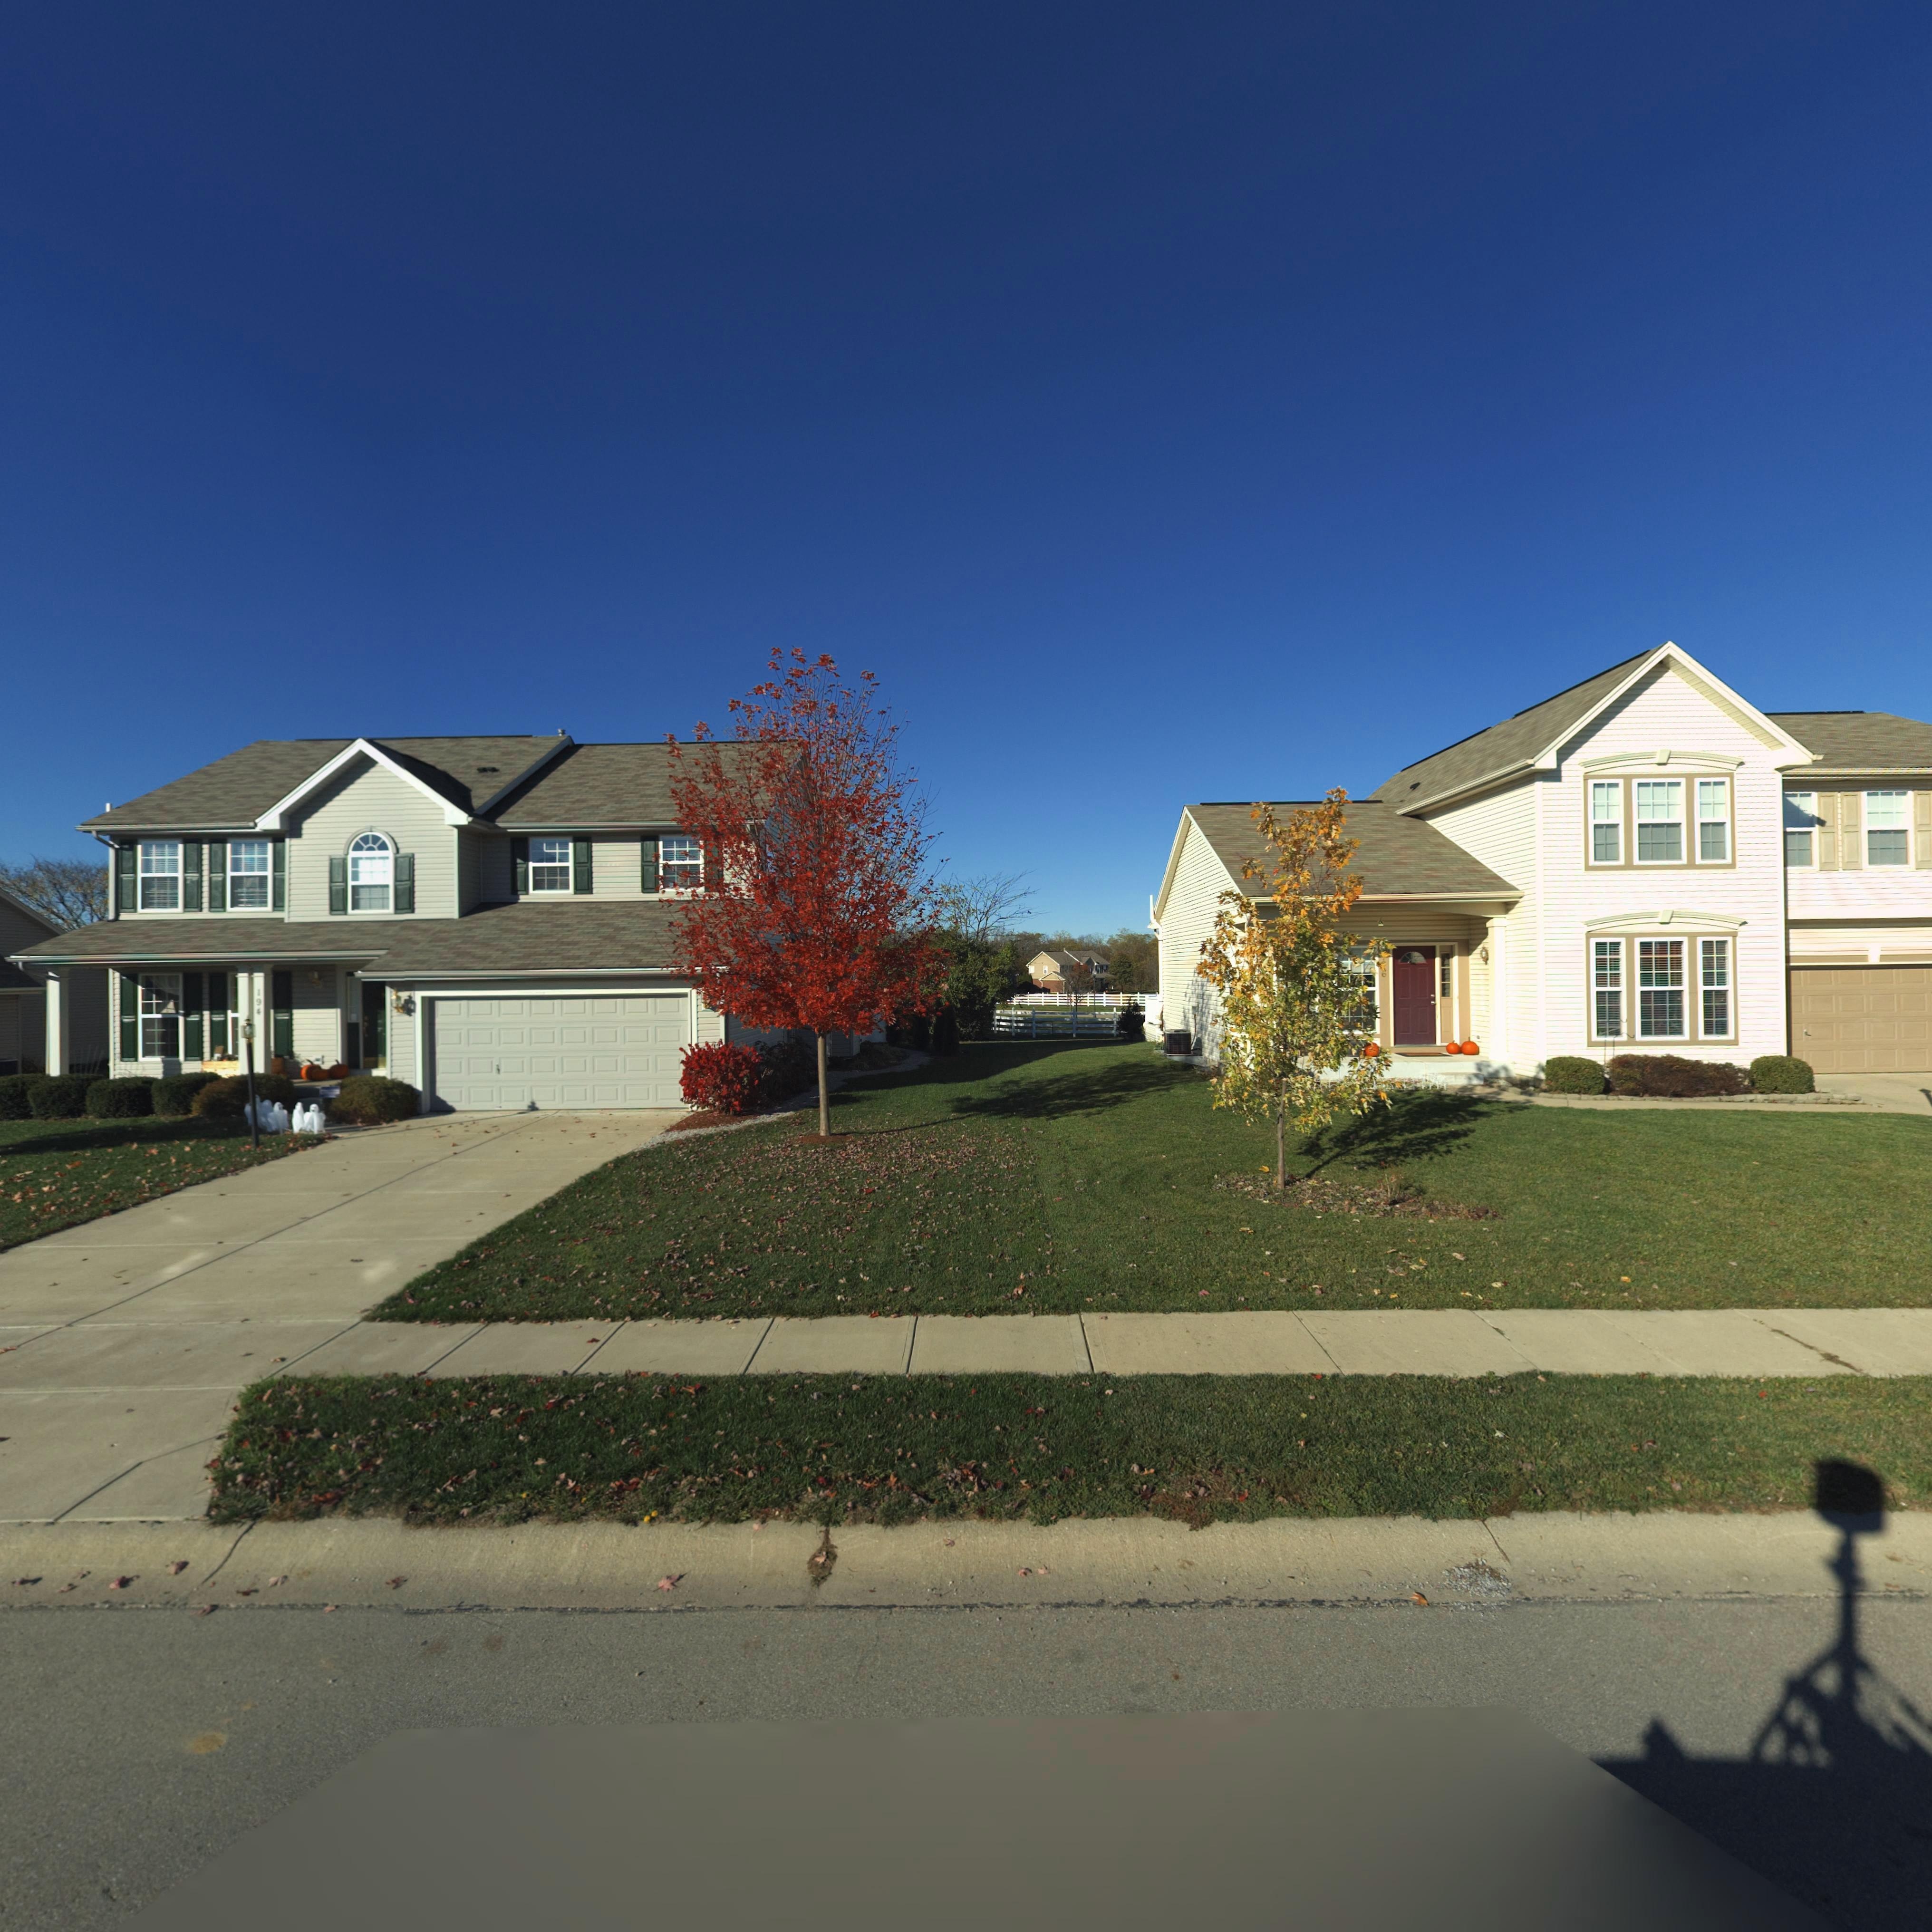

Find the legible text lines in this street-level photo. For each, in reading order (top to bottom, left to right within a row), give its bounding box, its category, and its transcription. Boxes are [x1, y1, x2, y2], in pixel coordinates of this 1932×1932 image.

[254, 987, 263, 1017] StreetNumber: 19*